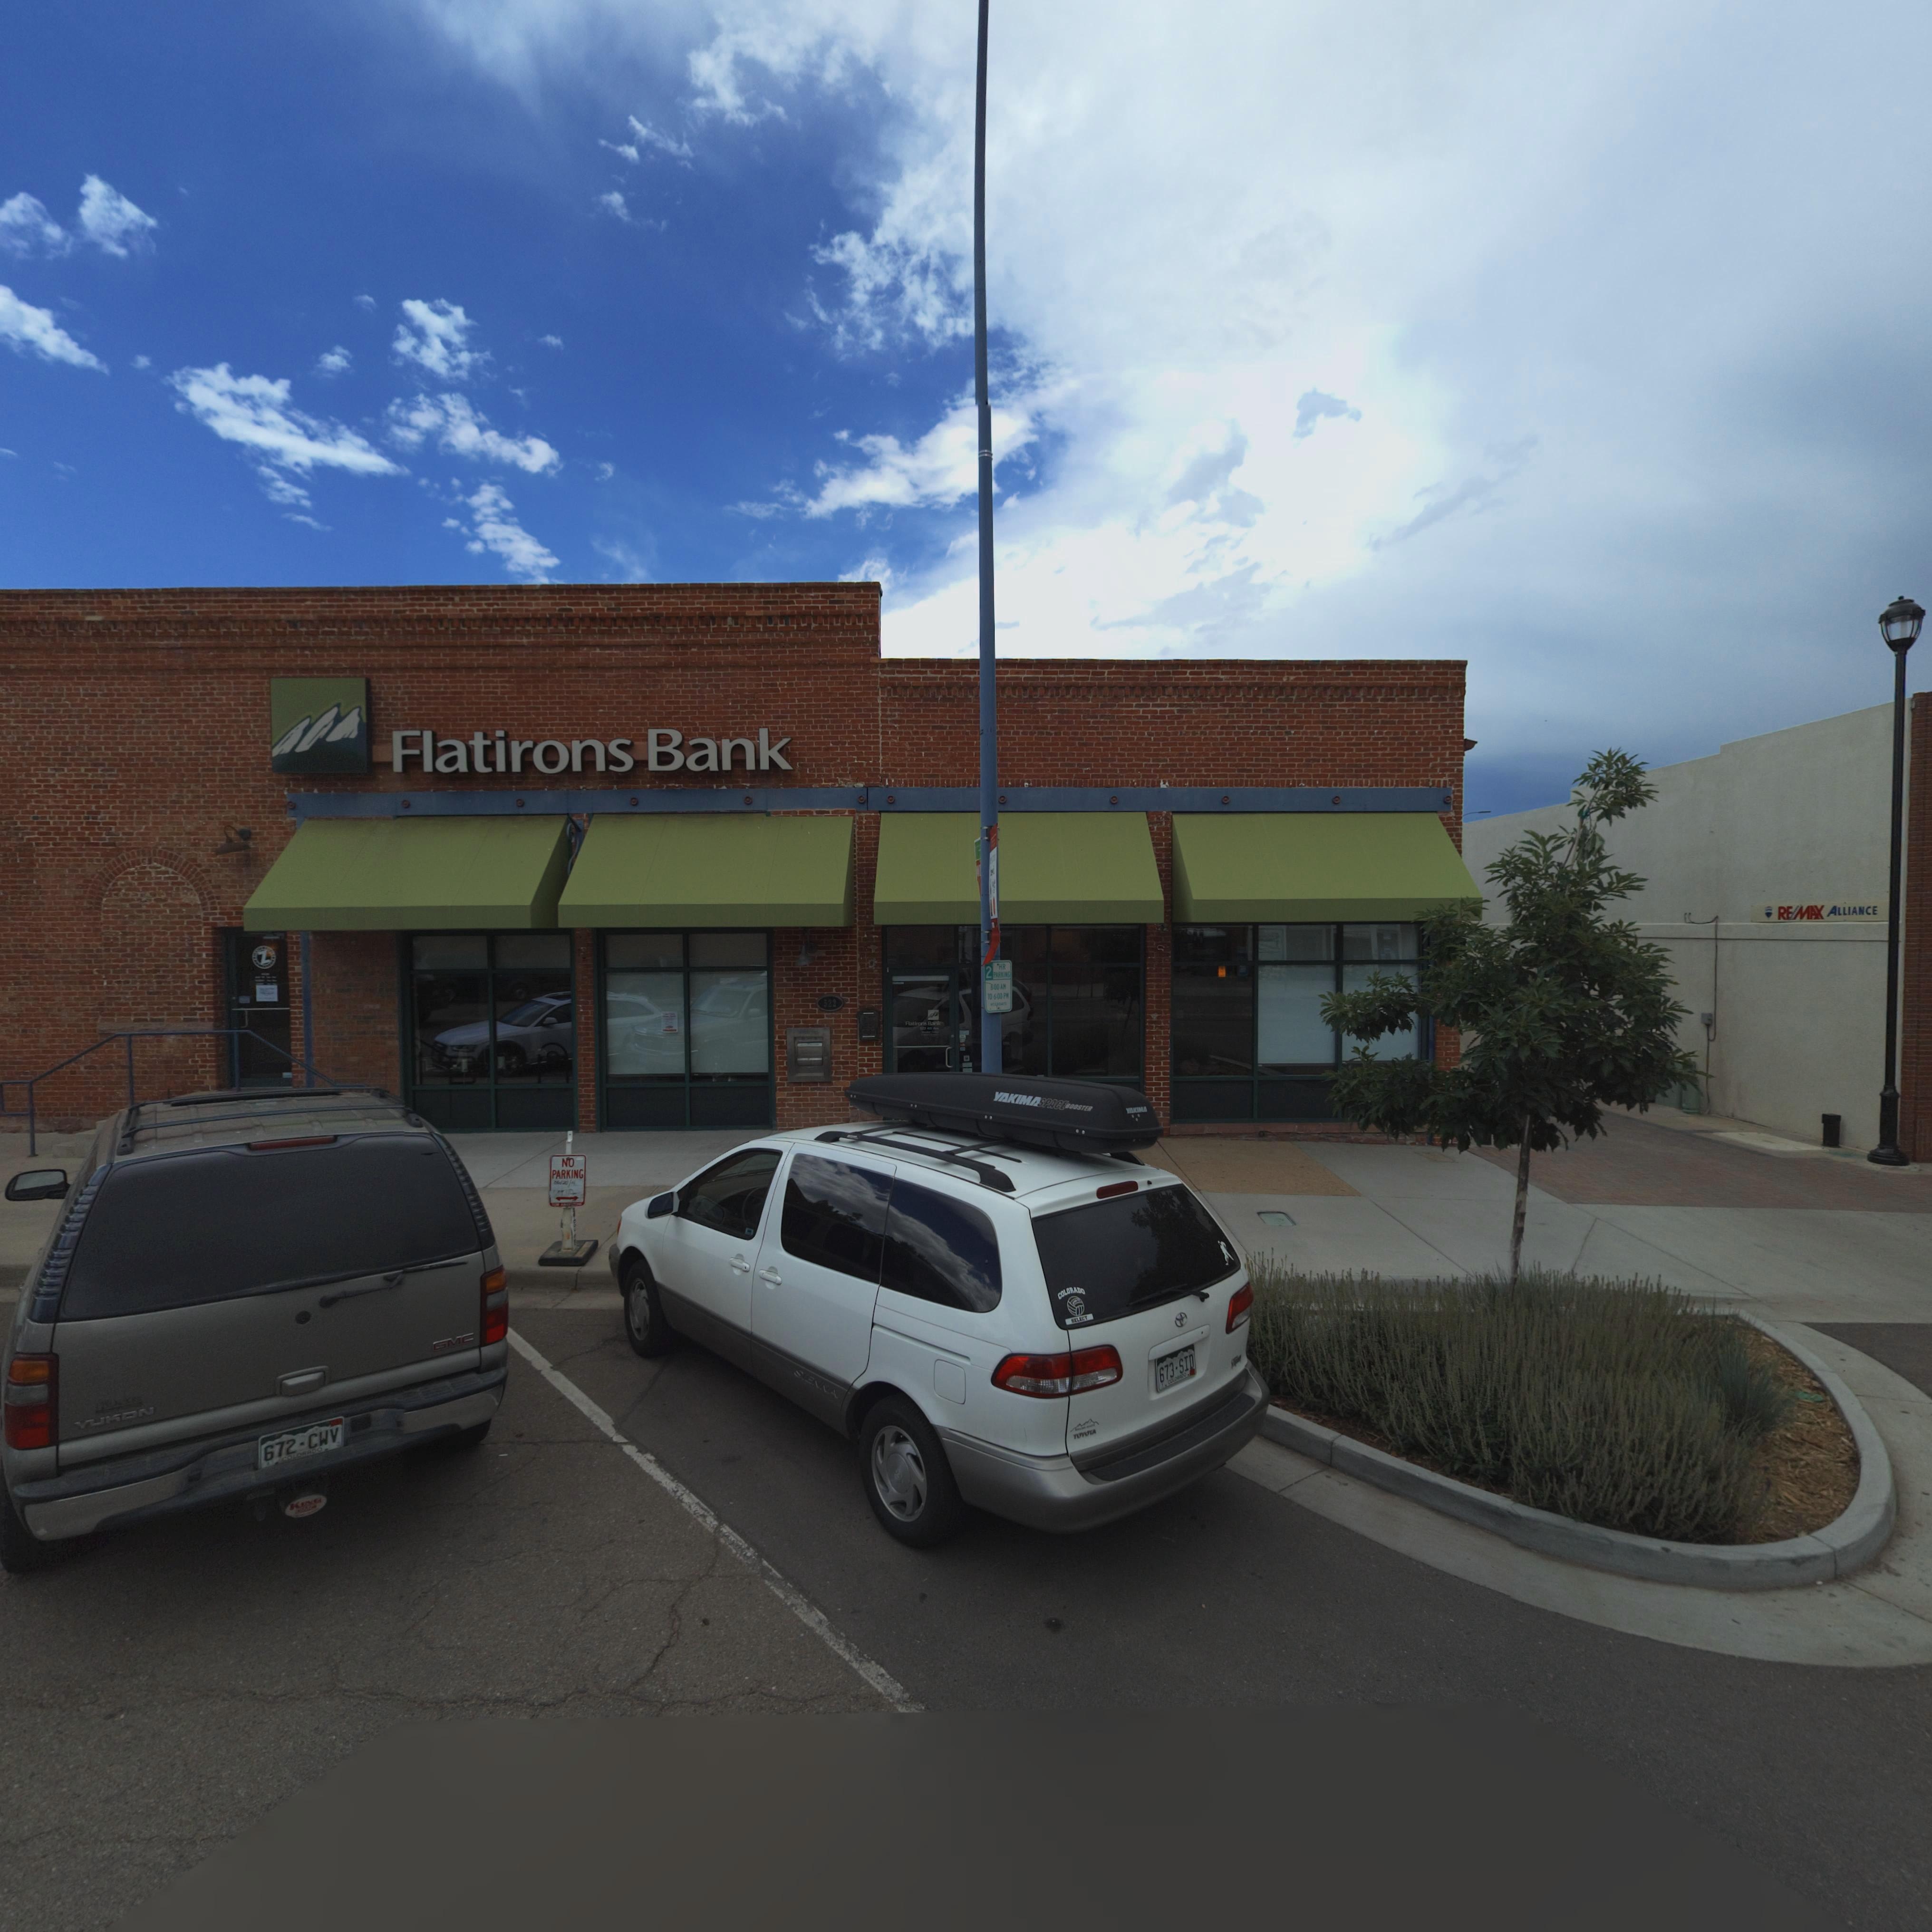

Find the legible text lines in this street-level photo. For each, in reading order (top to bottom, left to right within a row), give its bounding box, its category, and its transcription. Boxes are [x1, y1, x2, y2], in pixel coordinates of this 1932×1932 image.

[388, 727, 795, 773] BusinessName: Flatirons Bank
[1777, 905, 1877, 920] BusinessName: RE/MAX ALLIANCE
[823, 999, 836, 1007] StreetNumber: 522
[905, 1021, 941, 1026] BusinessName: Fla***on* Bank
[919, 1026, 927, 1030] StreetNumber: 522